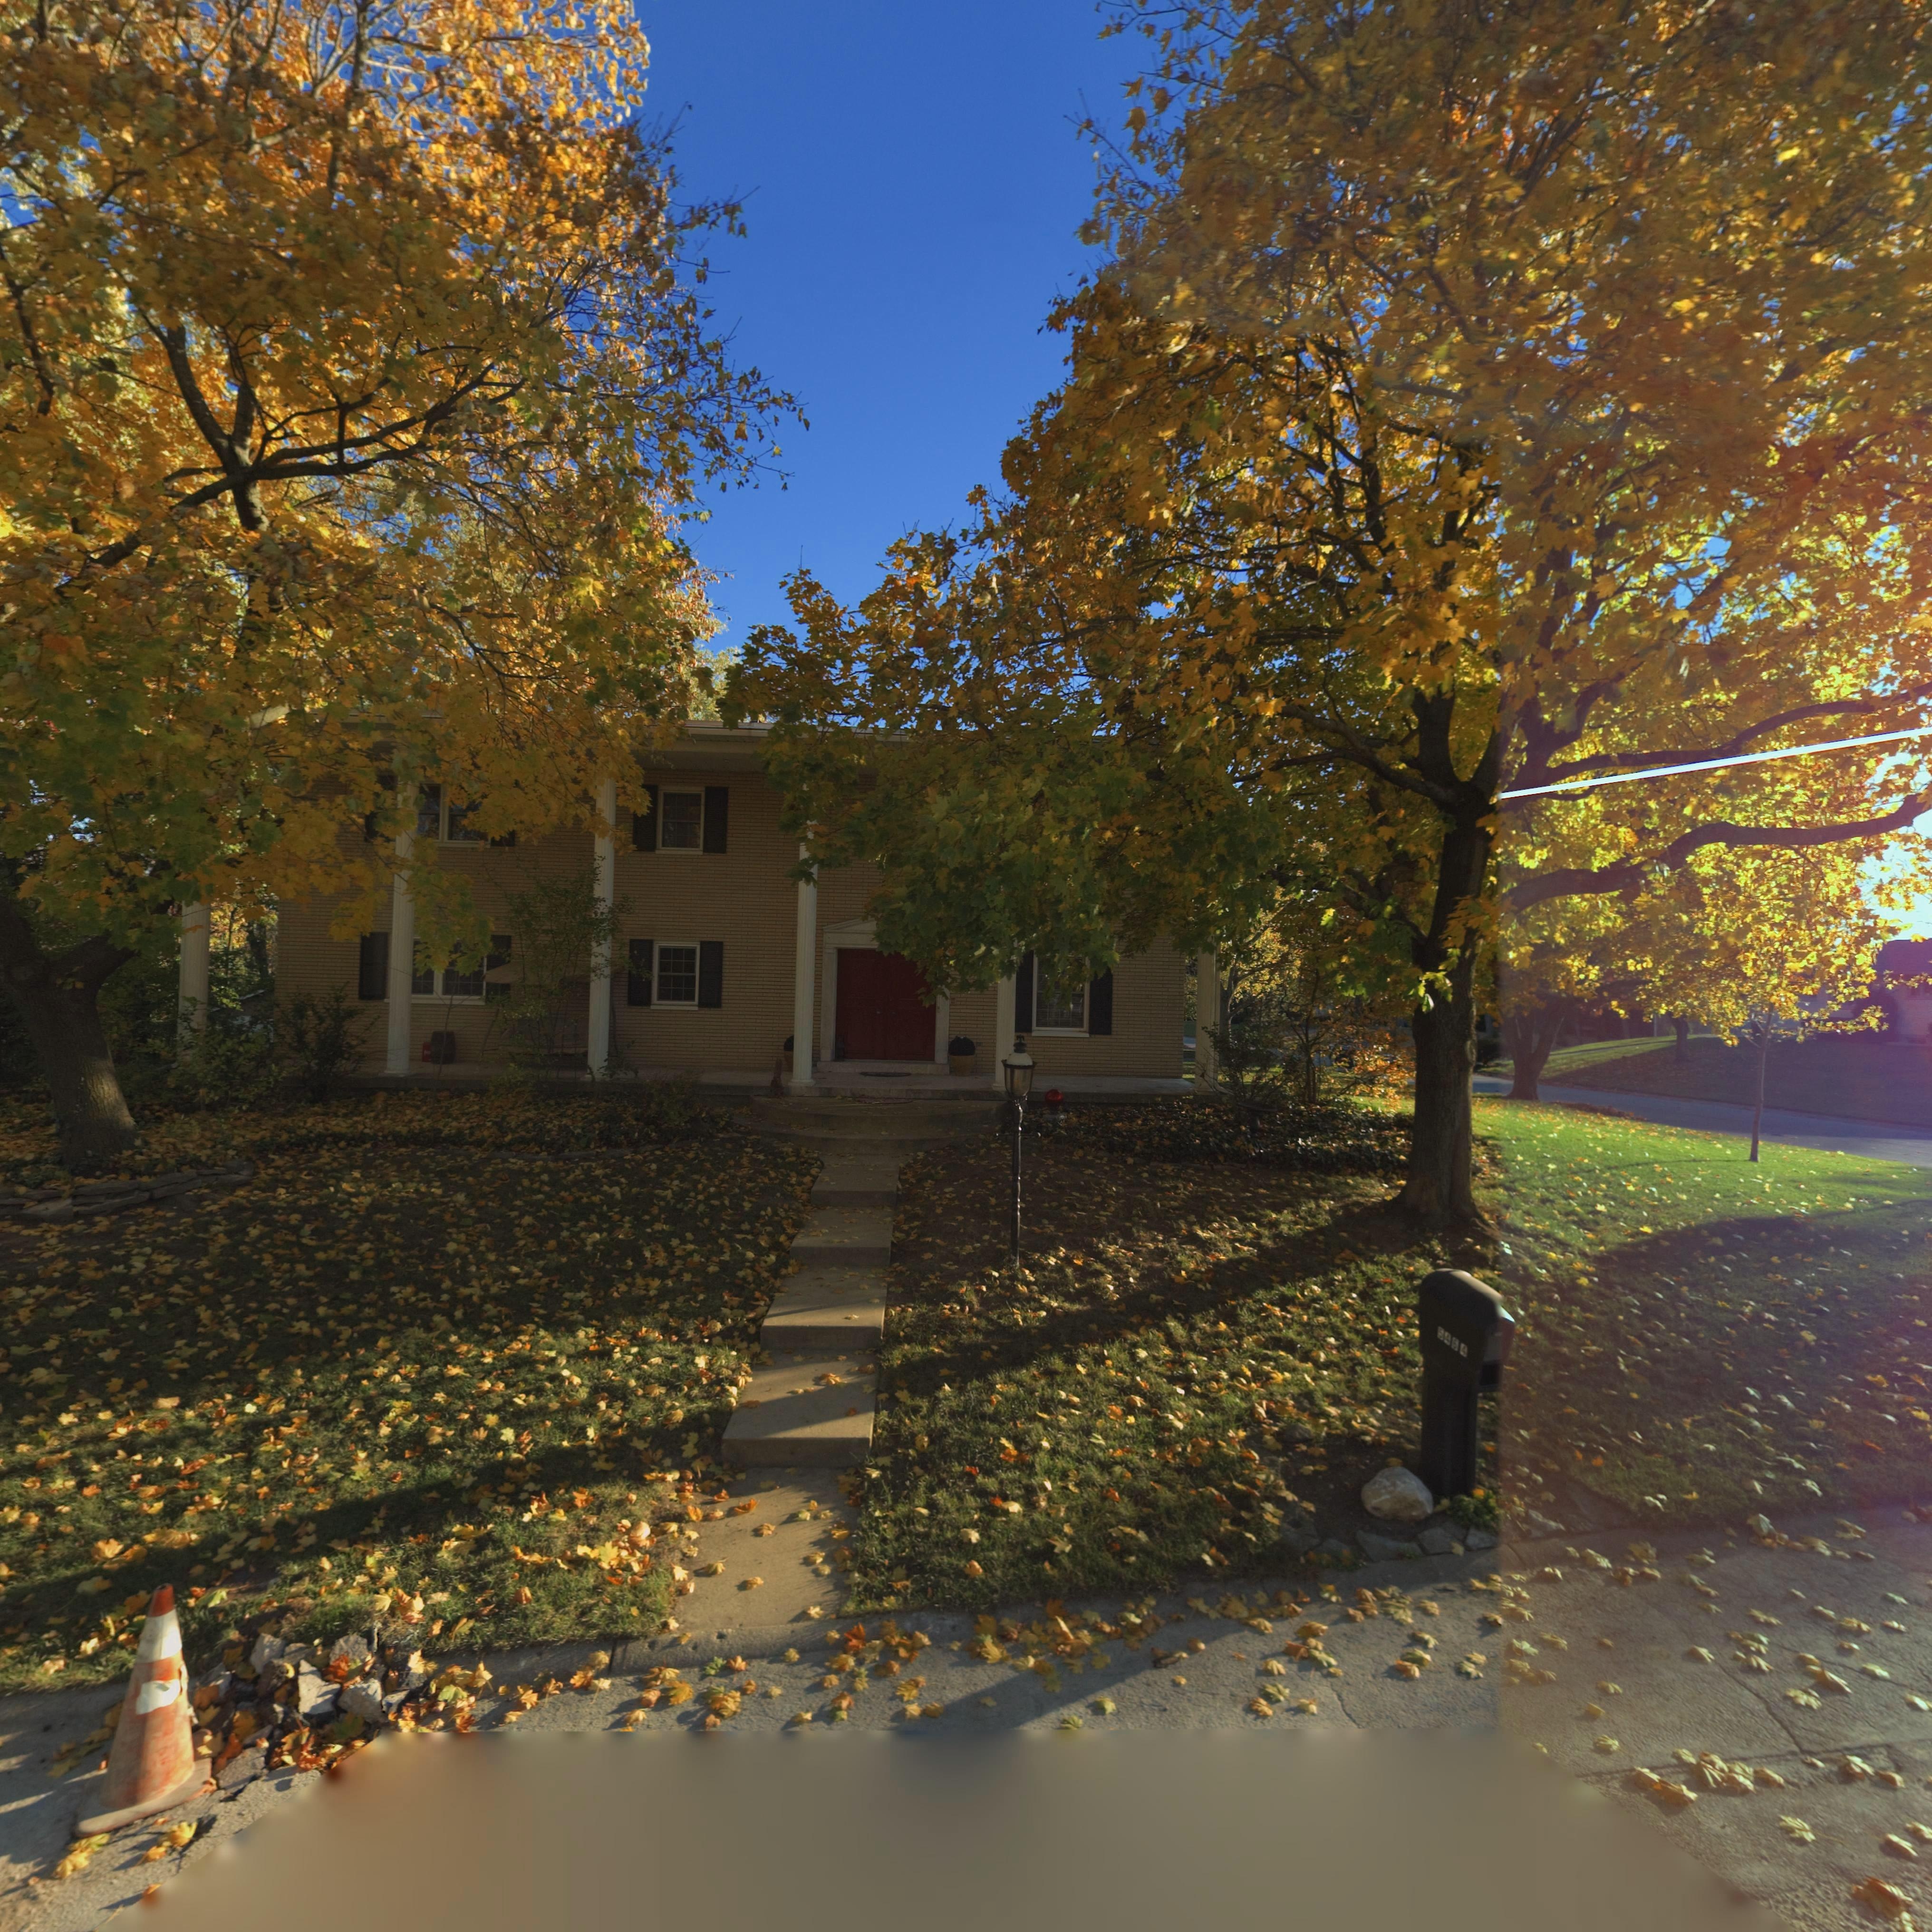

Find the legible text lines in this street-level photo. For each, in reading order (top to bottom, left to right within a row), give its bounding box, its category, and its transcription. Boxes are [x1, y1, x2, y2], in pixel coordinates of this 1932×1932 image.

[1436, 1326, 1468, 1358] StreetNumber: 5464